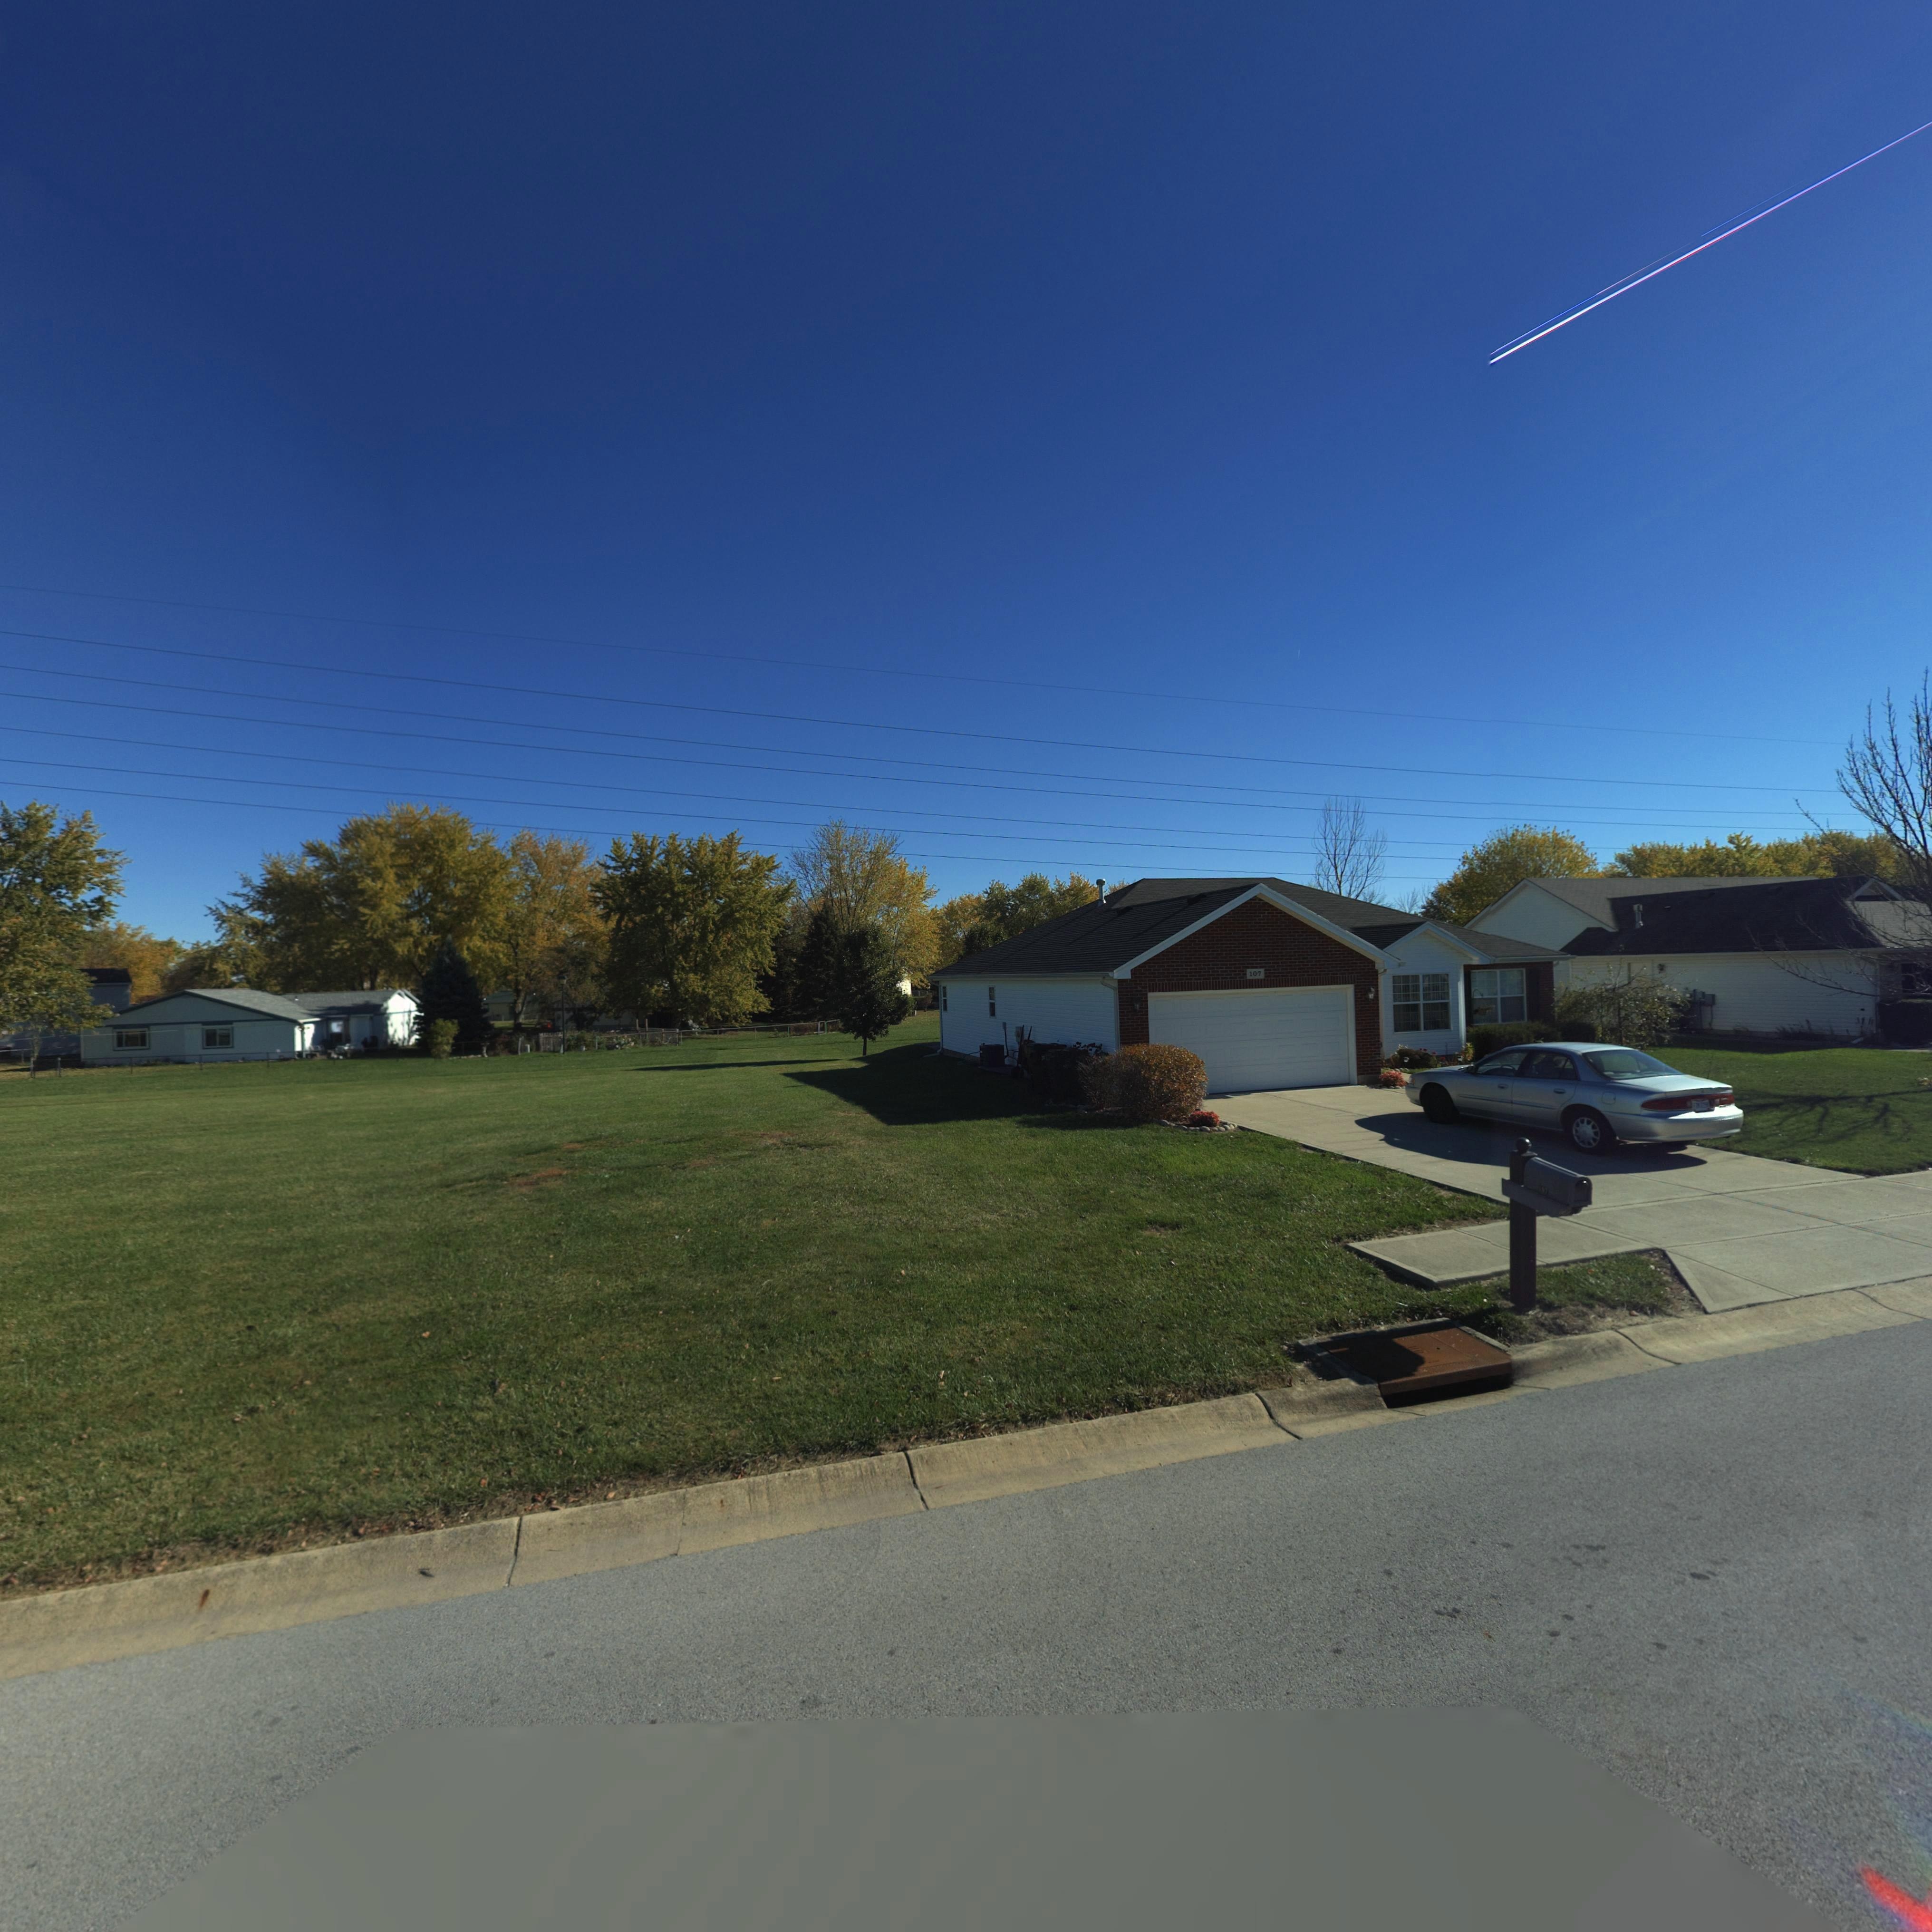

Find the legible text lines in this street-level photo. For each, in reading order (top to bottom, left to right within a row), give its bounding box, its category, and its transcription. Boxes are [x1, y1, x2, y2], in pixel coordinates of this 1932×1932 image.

[1248, 970, 1262, 977] StreetNumber: 107
[1537, 1184, 1549, 1195] StreetNumber: 107